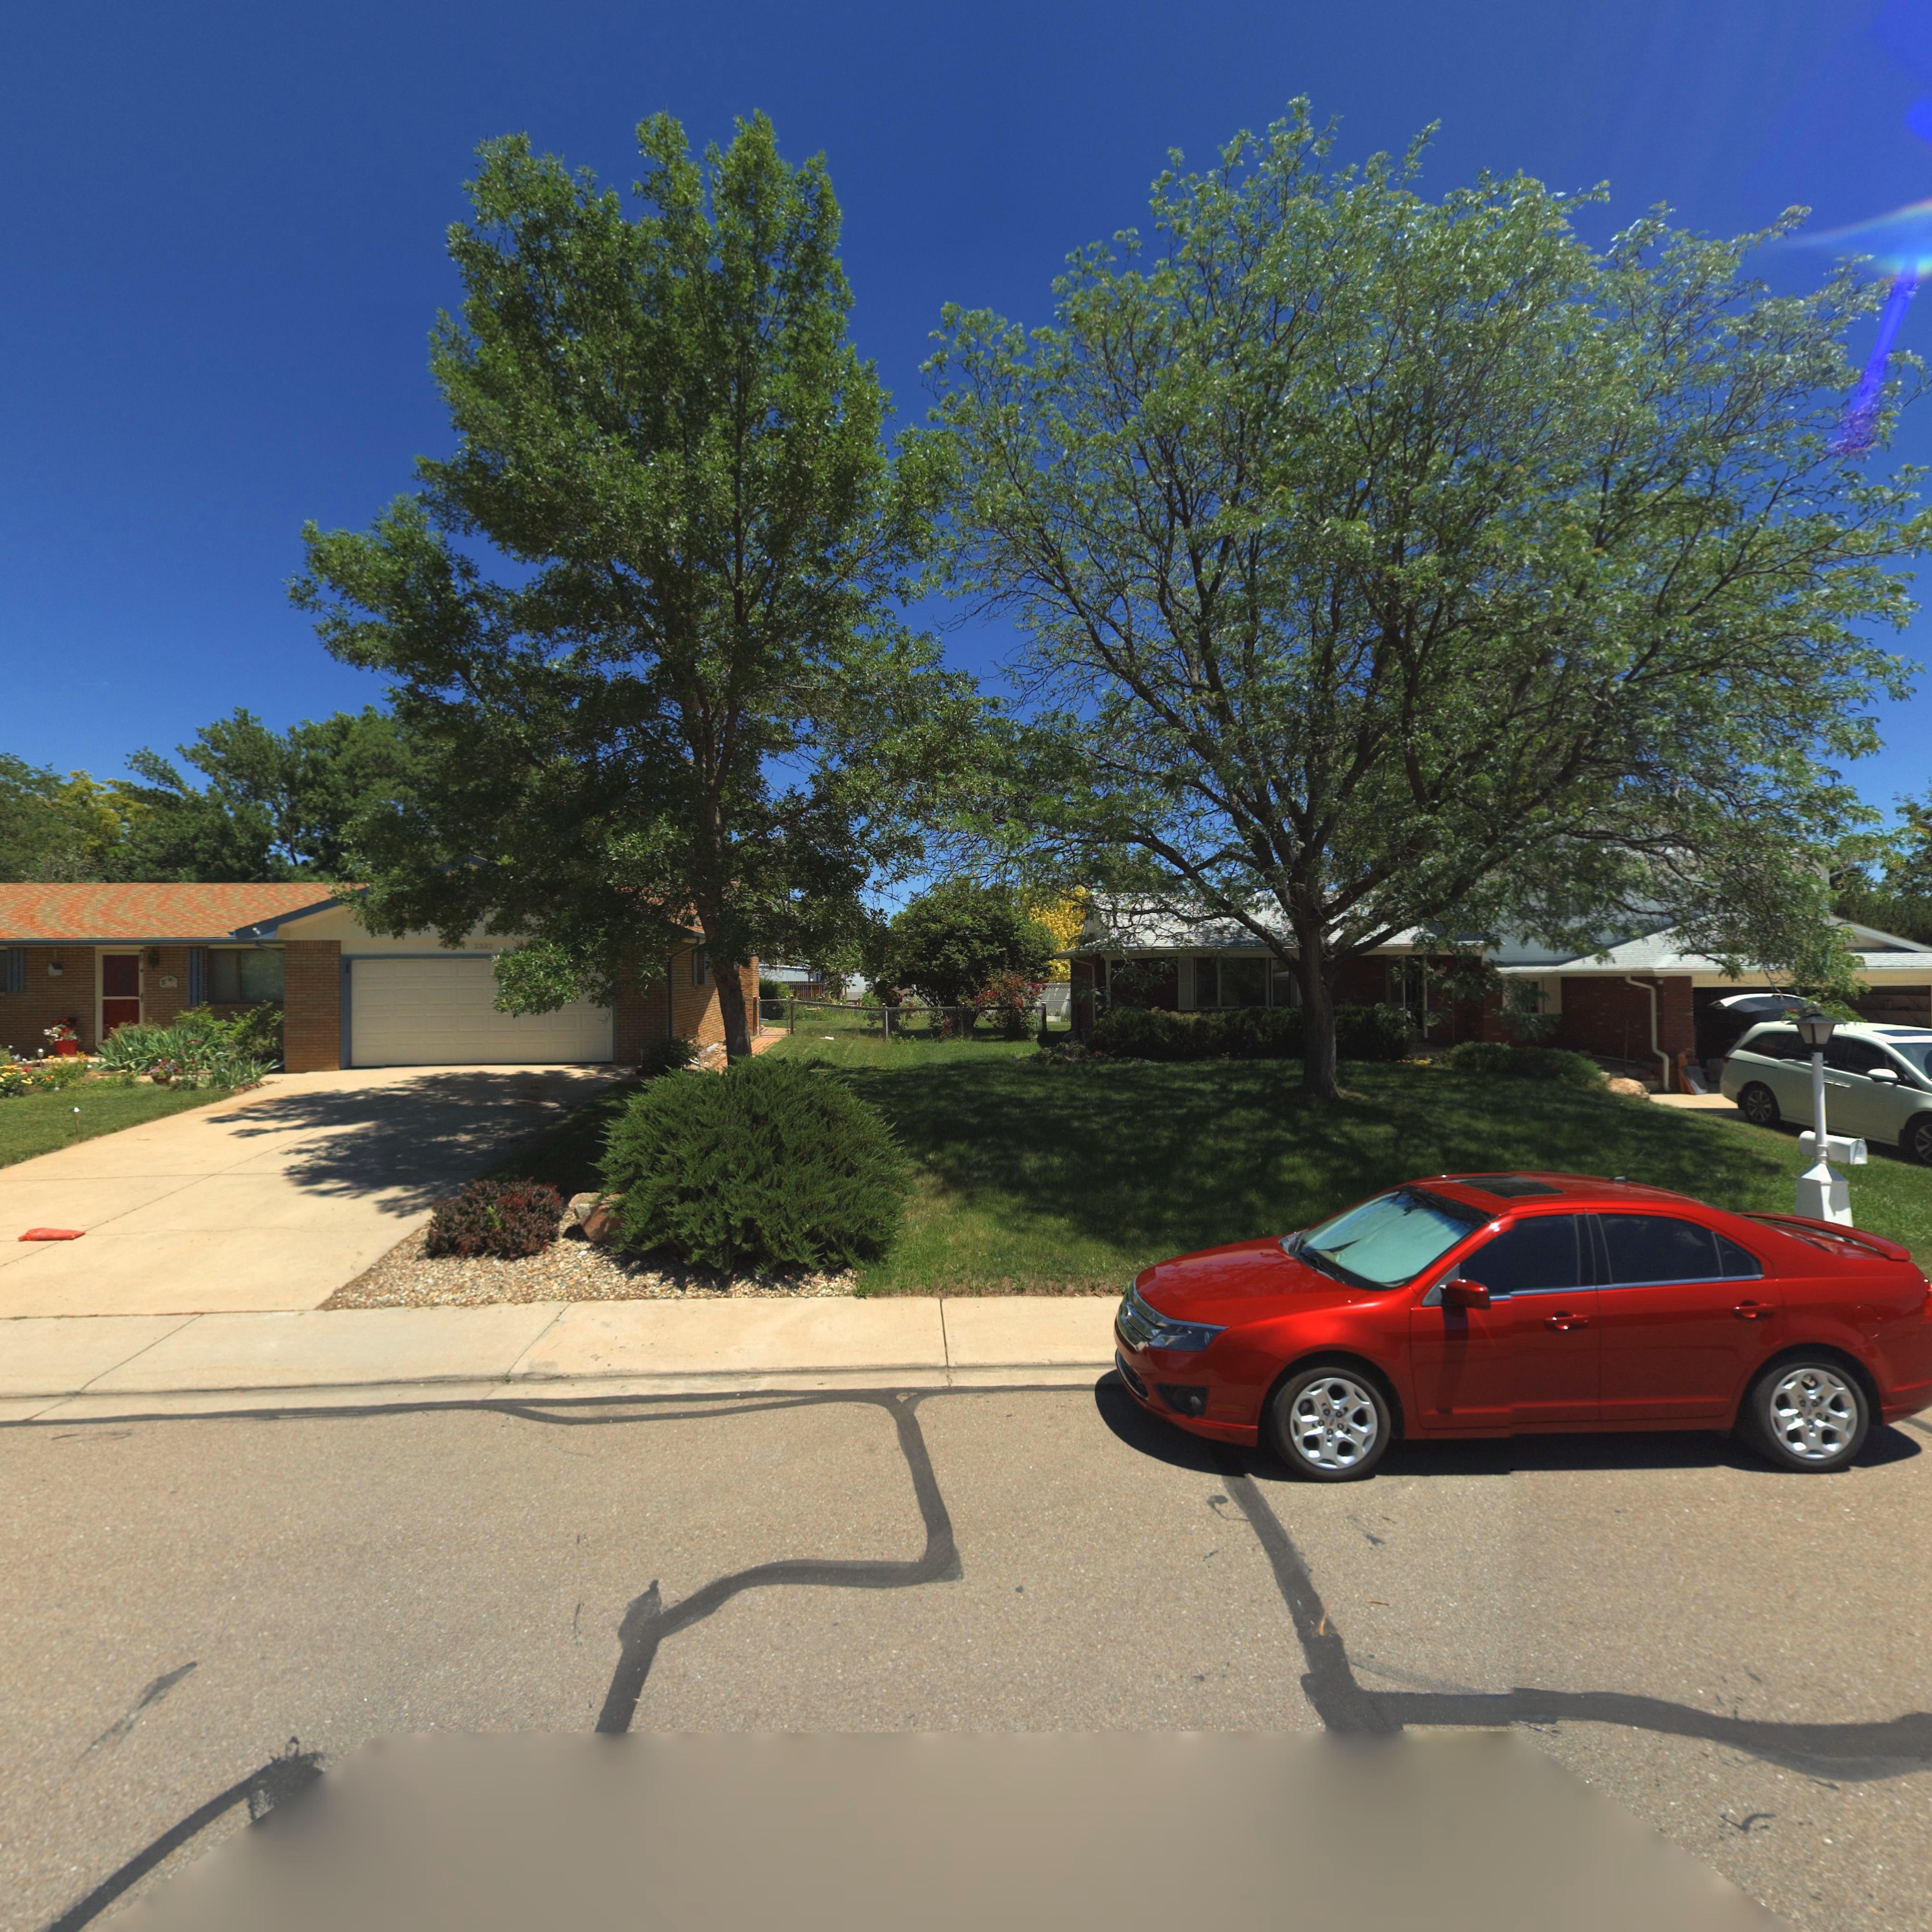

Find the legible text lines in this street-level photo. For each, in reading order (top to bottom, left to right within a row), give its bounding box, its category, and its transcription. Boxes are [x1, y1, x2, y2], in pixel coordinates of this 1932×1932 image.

[473, 942, 493, 949] StreetNumber: 2332